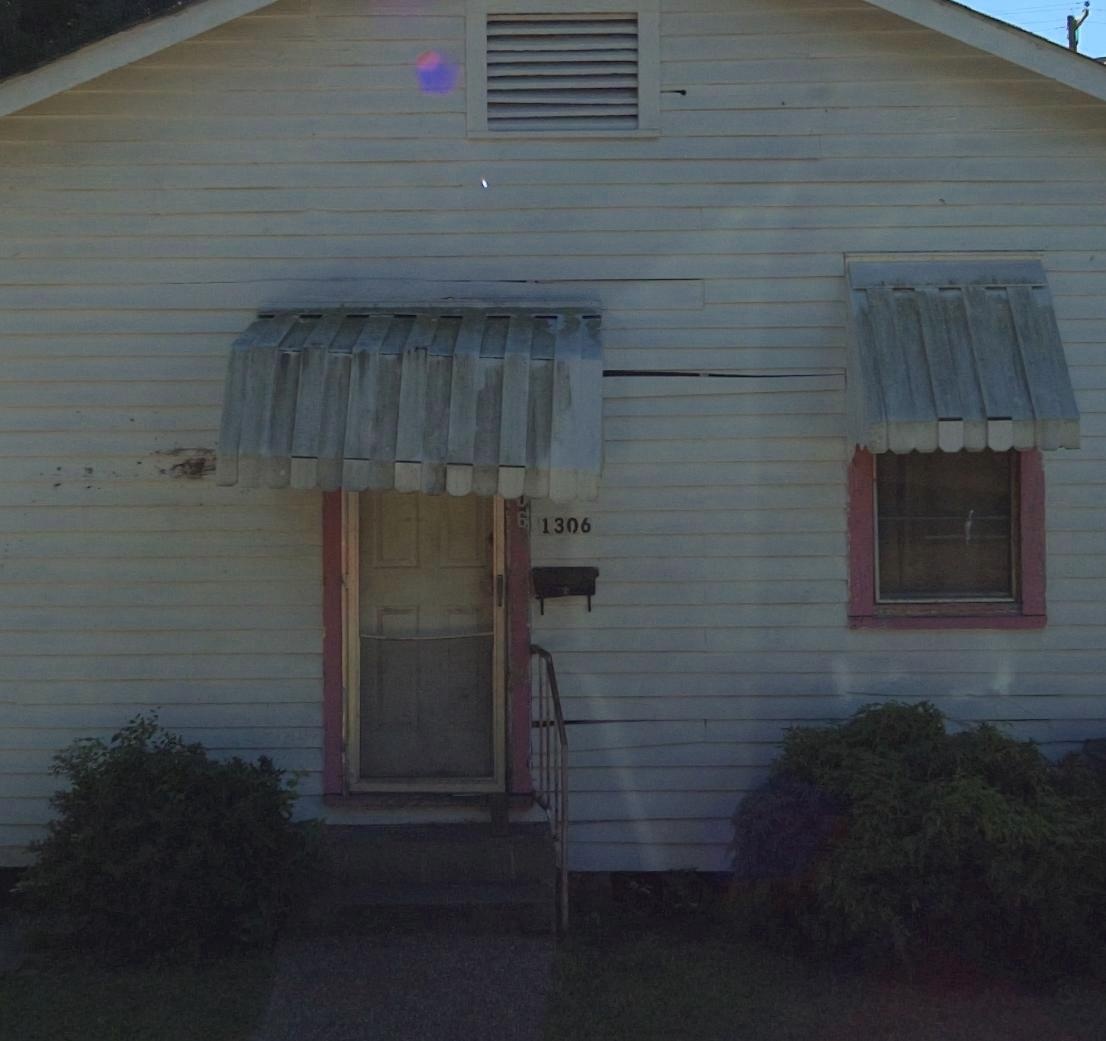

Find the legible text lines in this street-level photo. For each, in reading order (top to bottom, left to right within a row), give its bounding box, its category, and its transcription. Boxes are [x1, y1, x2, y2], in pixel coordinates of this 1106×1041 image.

[513, 508, 530, 532] StreetNumber: 6
[539, 514, 594, 537] StreetNumber: 1306